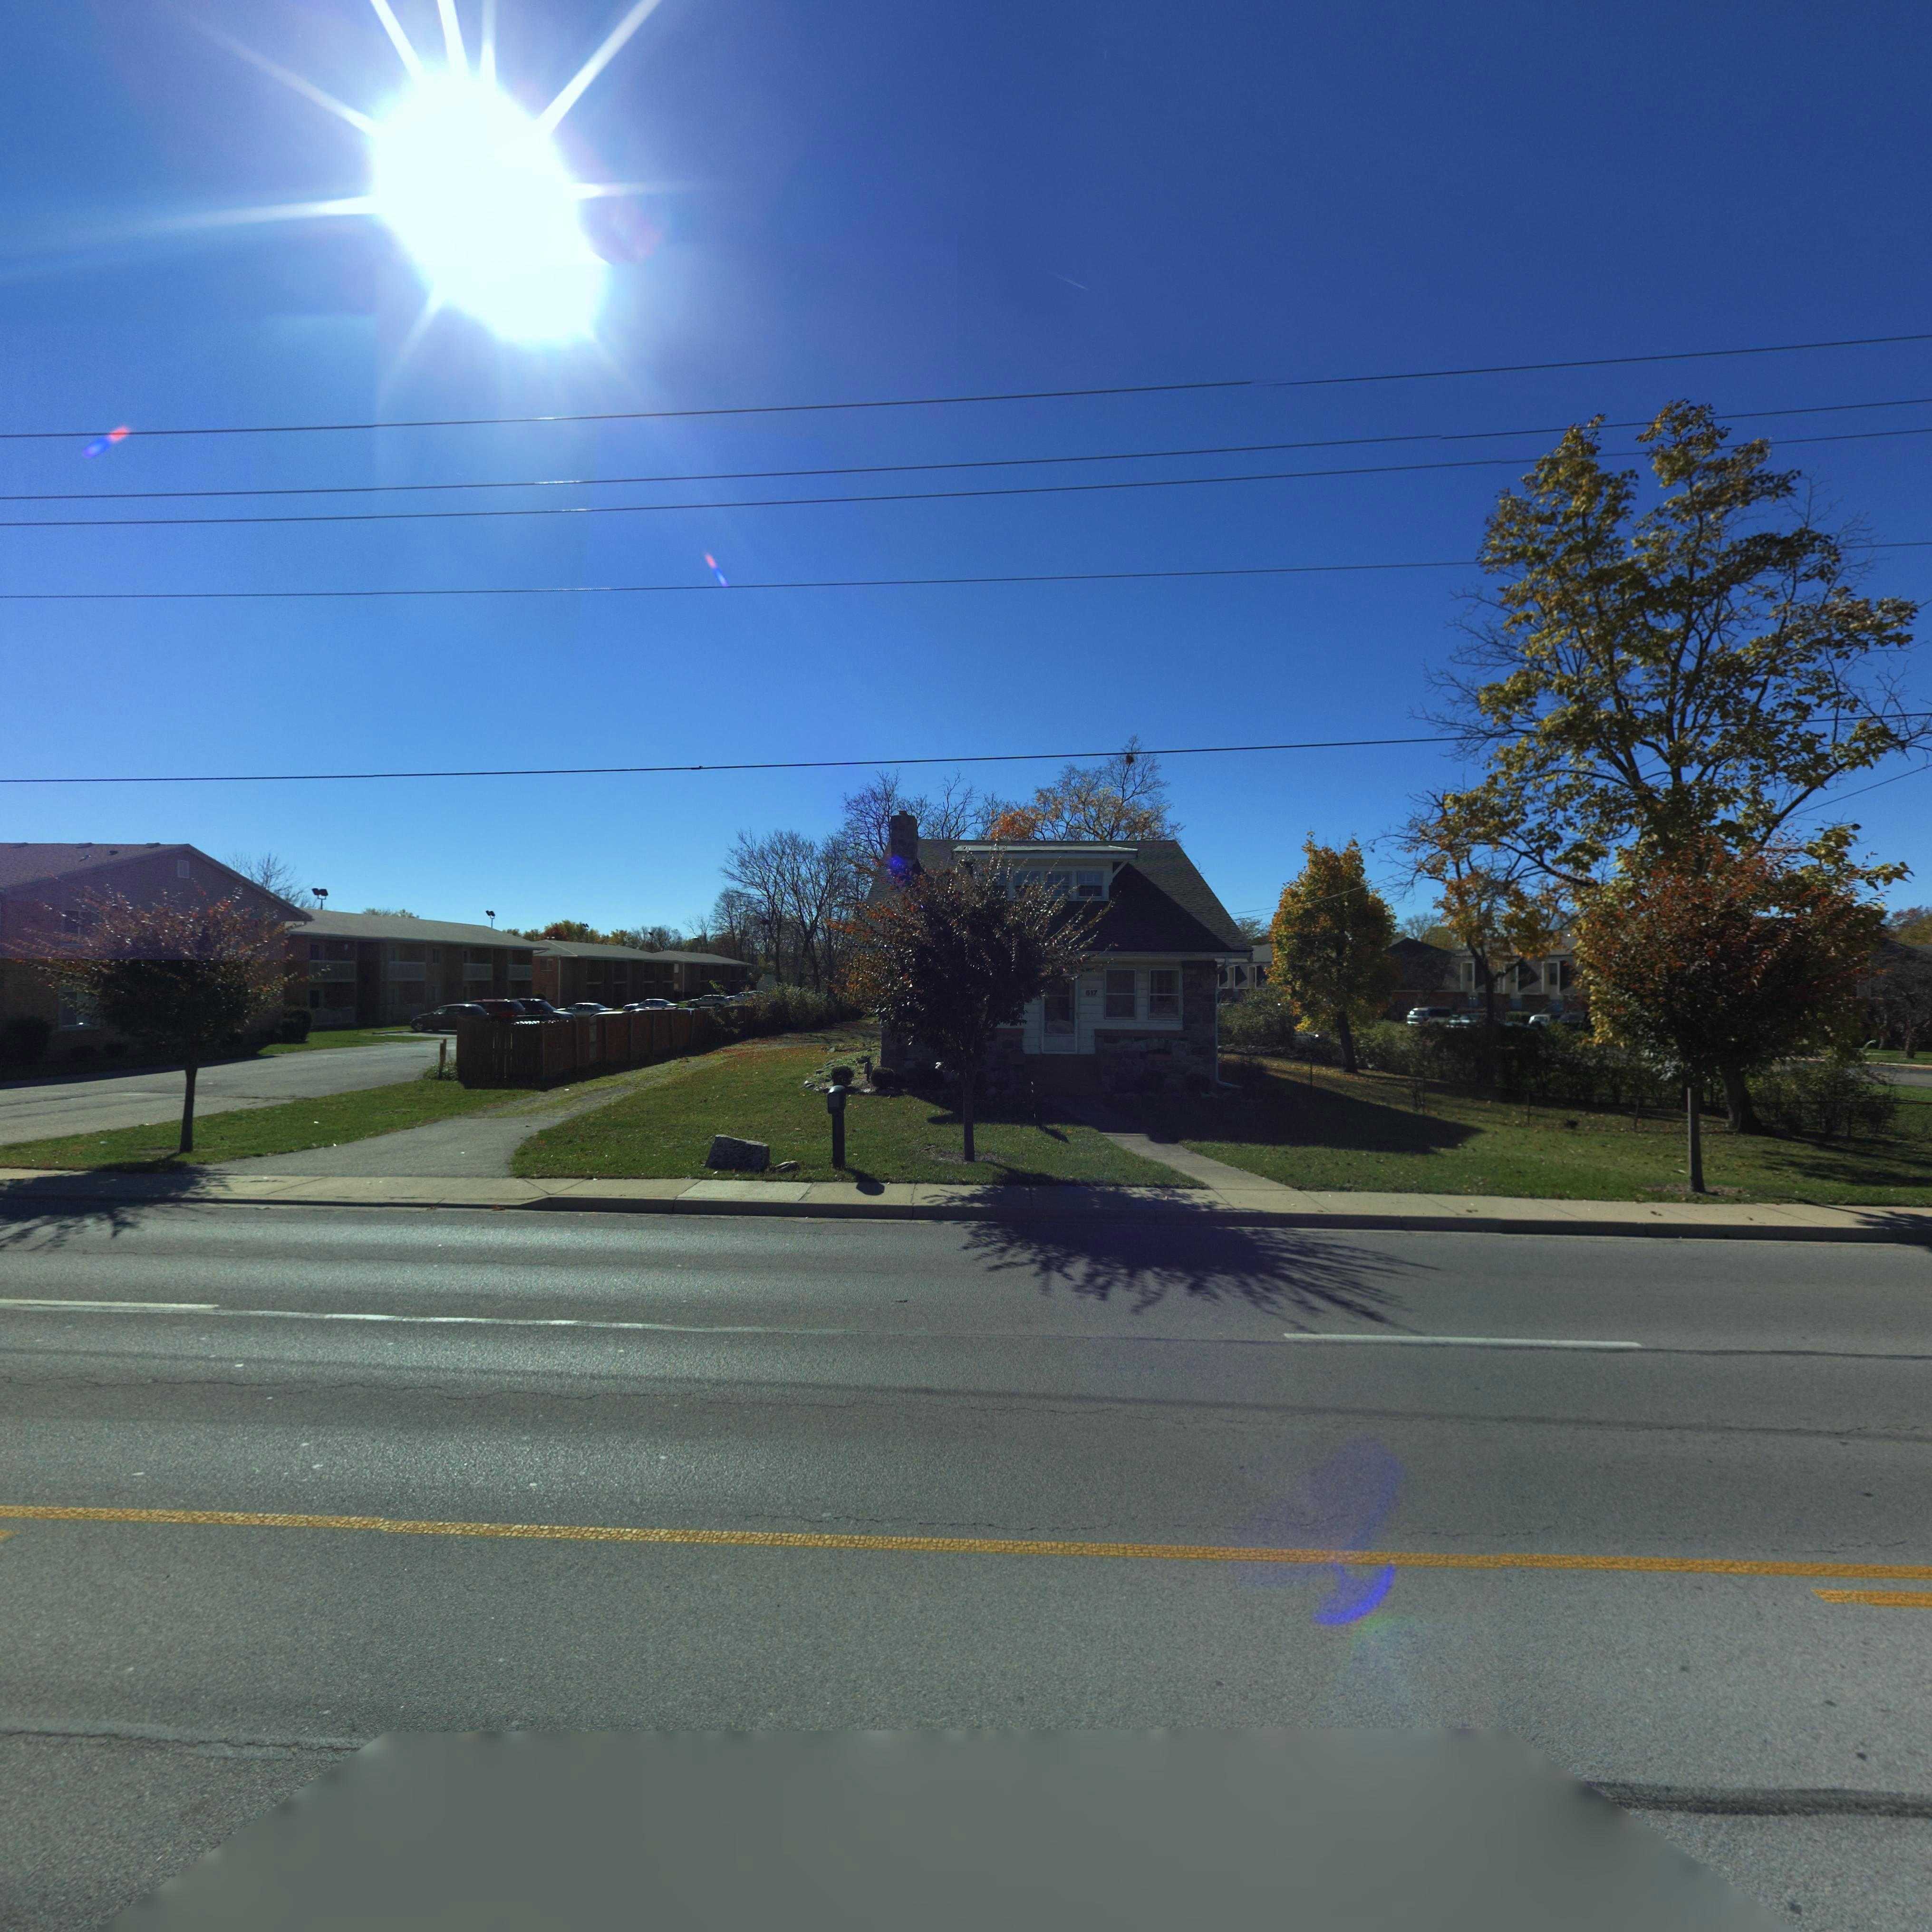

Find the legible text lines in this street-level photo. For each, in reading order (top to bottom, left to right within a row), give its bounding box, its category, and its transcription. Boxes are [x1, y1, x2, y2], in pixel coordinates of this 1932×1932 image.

[1083, 989, 1099, 997] StreetNumber: *17